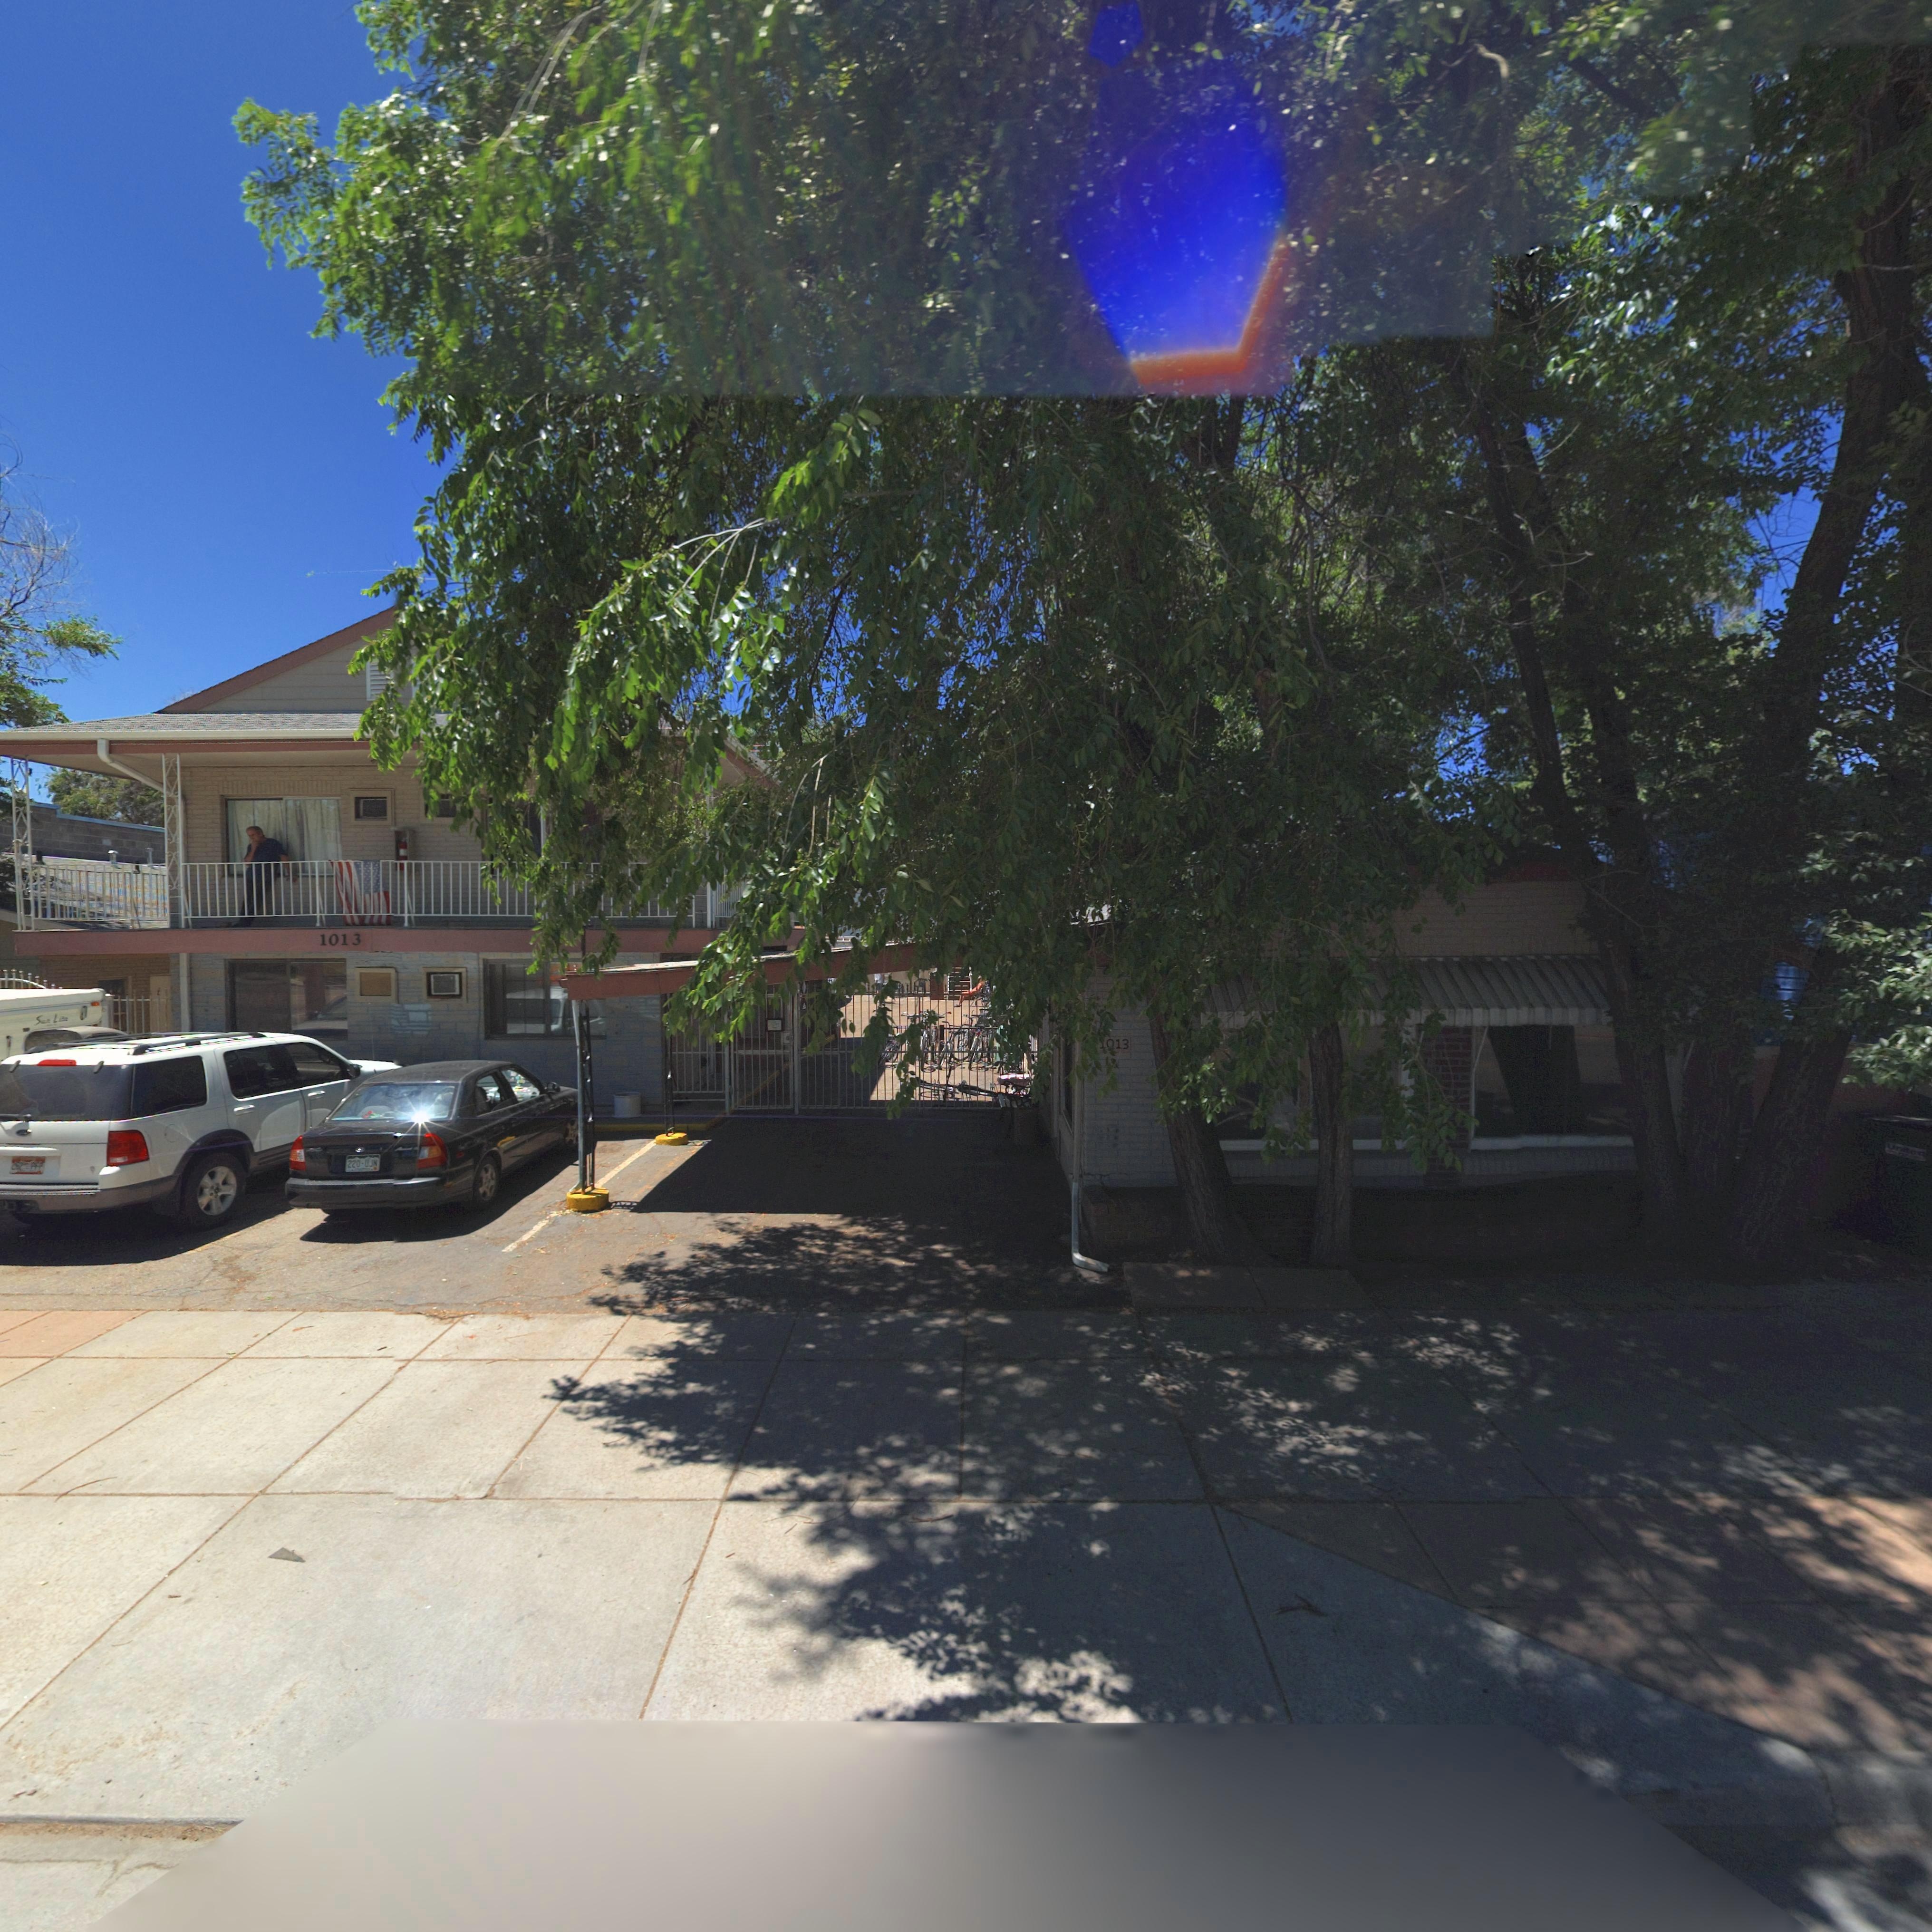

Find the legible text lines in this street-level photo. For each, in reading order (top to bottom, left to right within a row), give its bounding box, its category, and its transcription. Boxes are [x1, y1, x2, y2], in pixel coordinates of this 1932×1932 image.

[319, 932, 361, 946] StreetNumber: 1013
[1099, 1038, 1130, 1050] StreetNumber: 1013